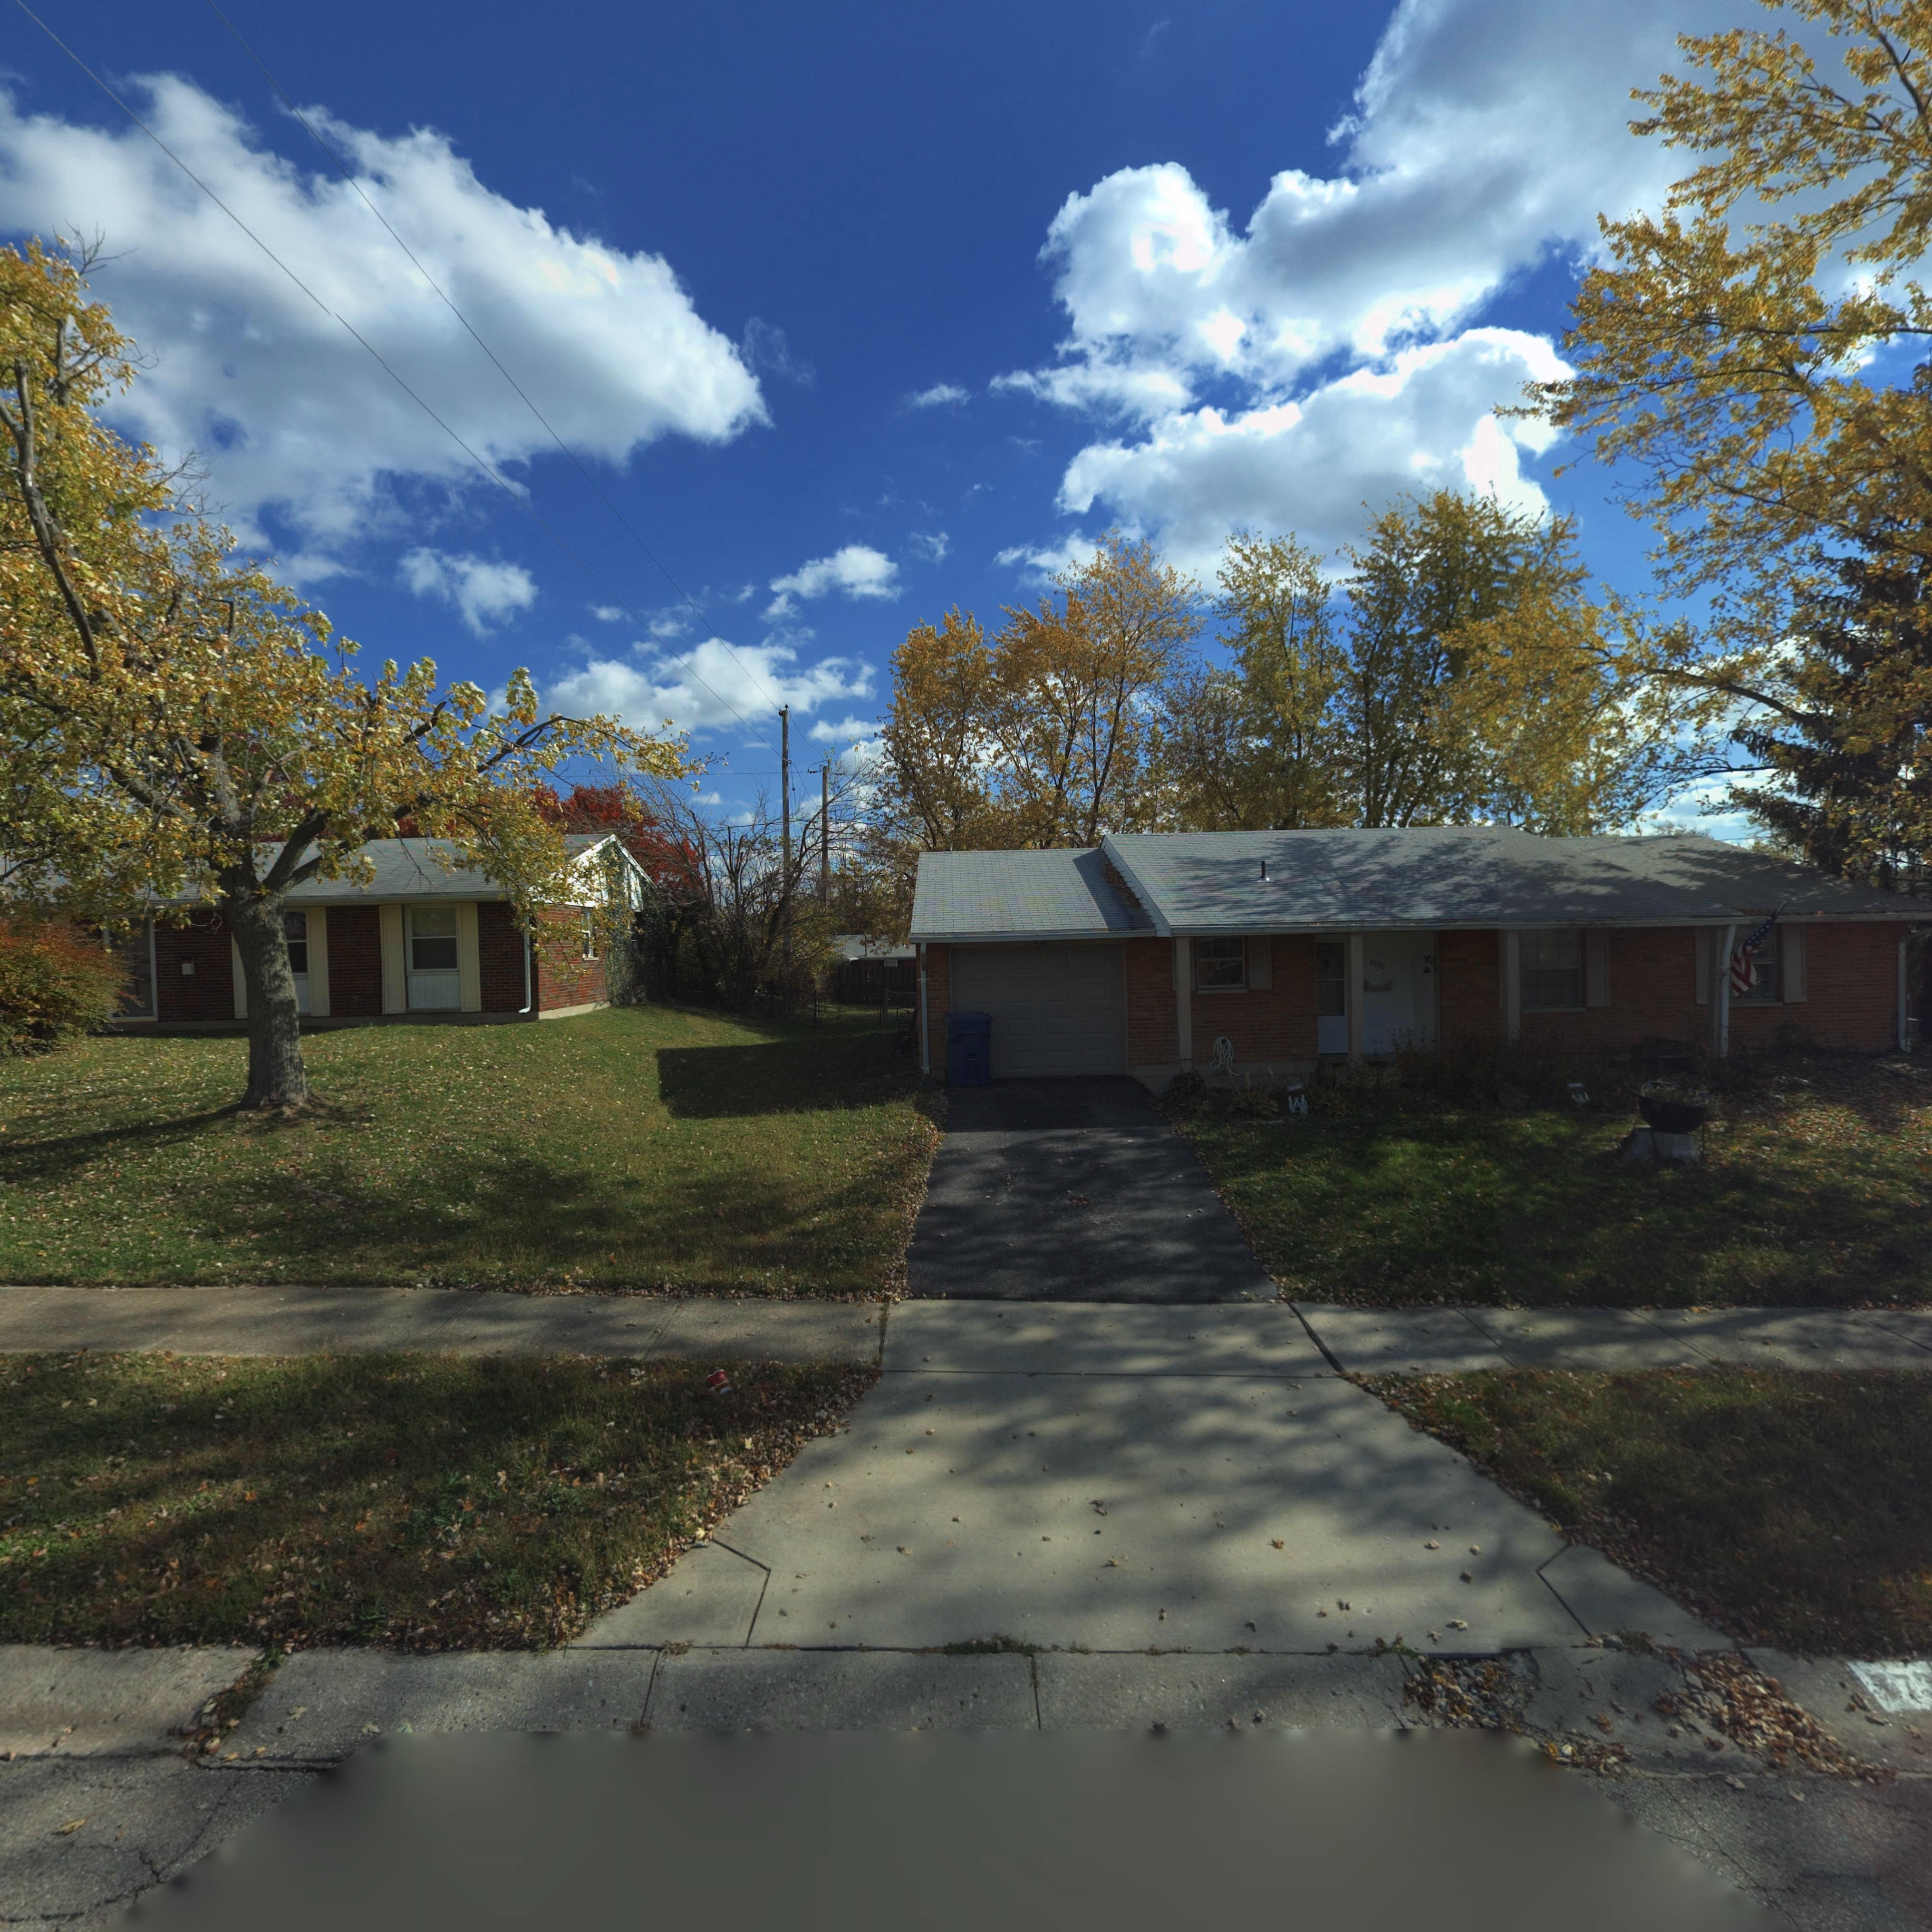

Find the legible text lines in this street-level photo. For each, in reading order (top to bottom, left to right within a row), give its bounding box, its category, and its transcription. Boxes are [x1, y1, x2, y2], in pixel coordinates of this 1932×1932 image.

[1369, 959, 1386, 970] StreetNumber: 7730
[1865, 1673, 1924, 1704] StreetNumber: 77